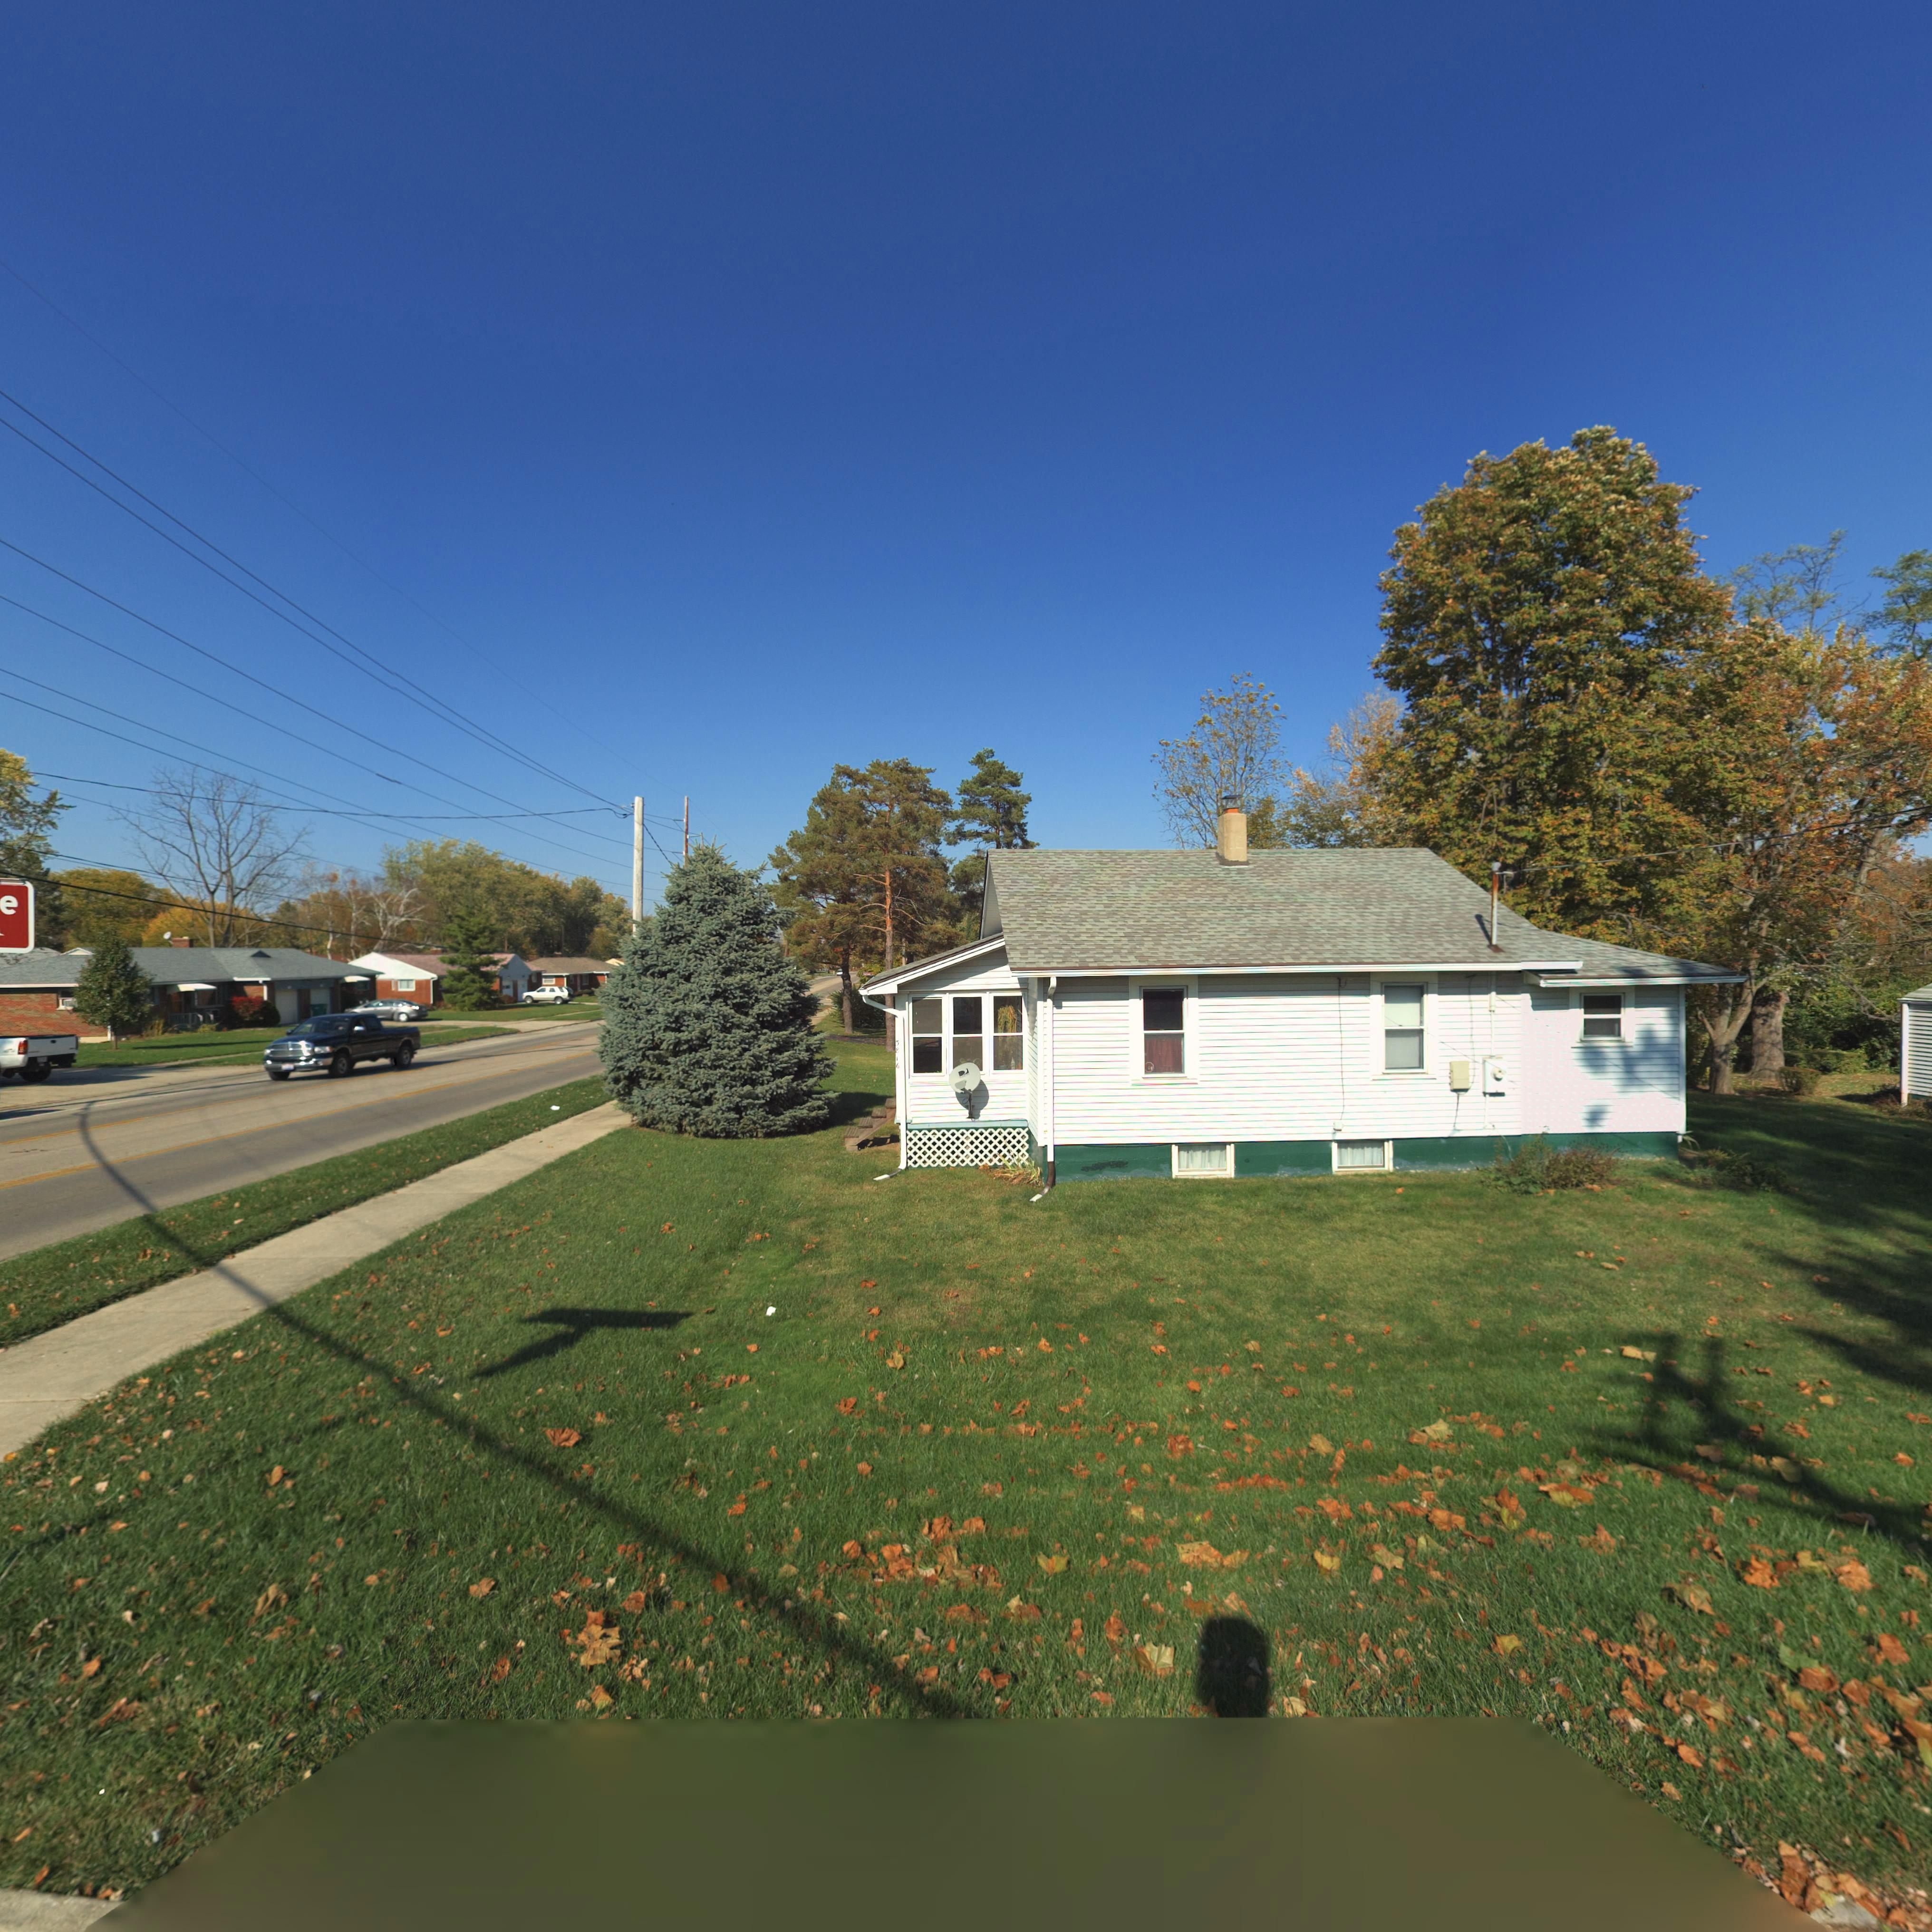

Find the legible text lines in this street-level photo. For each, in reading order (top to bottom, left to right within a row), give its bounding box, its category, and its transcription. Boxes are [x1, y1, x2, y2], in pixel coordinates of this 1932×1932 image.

[0, 895, 19, 916] StreetName: e
[895, 1039, 899, 1069] StreetNumber: 3816